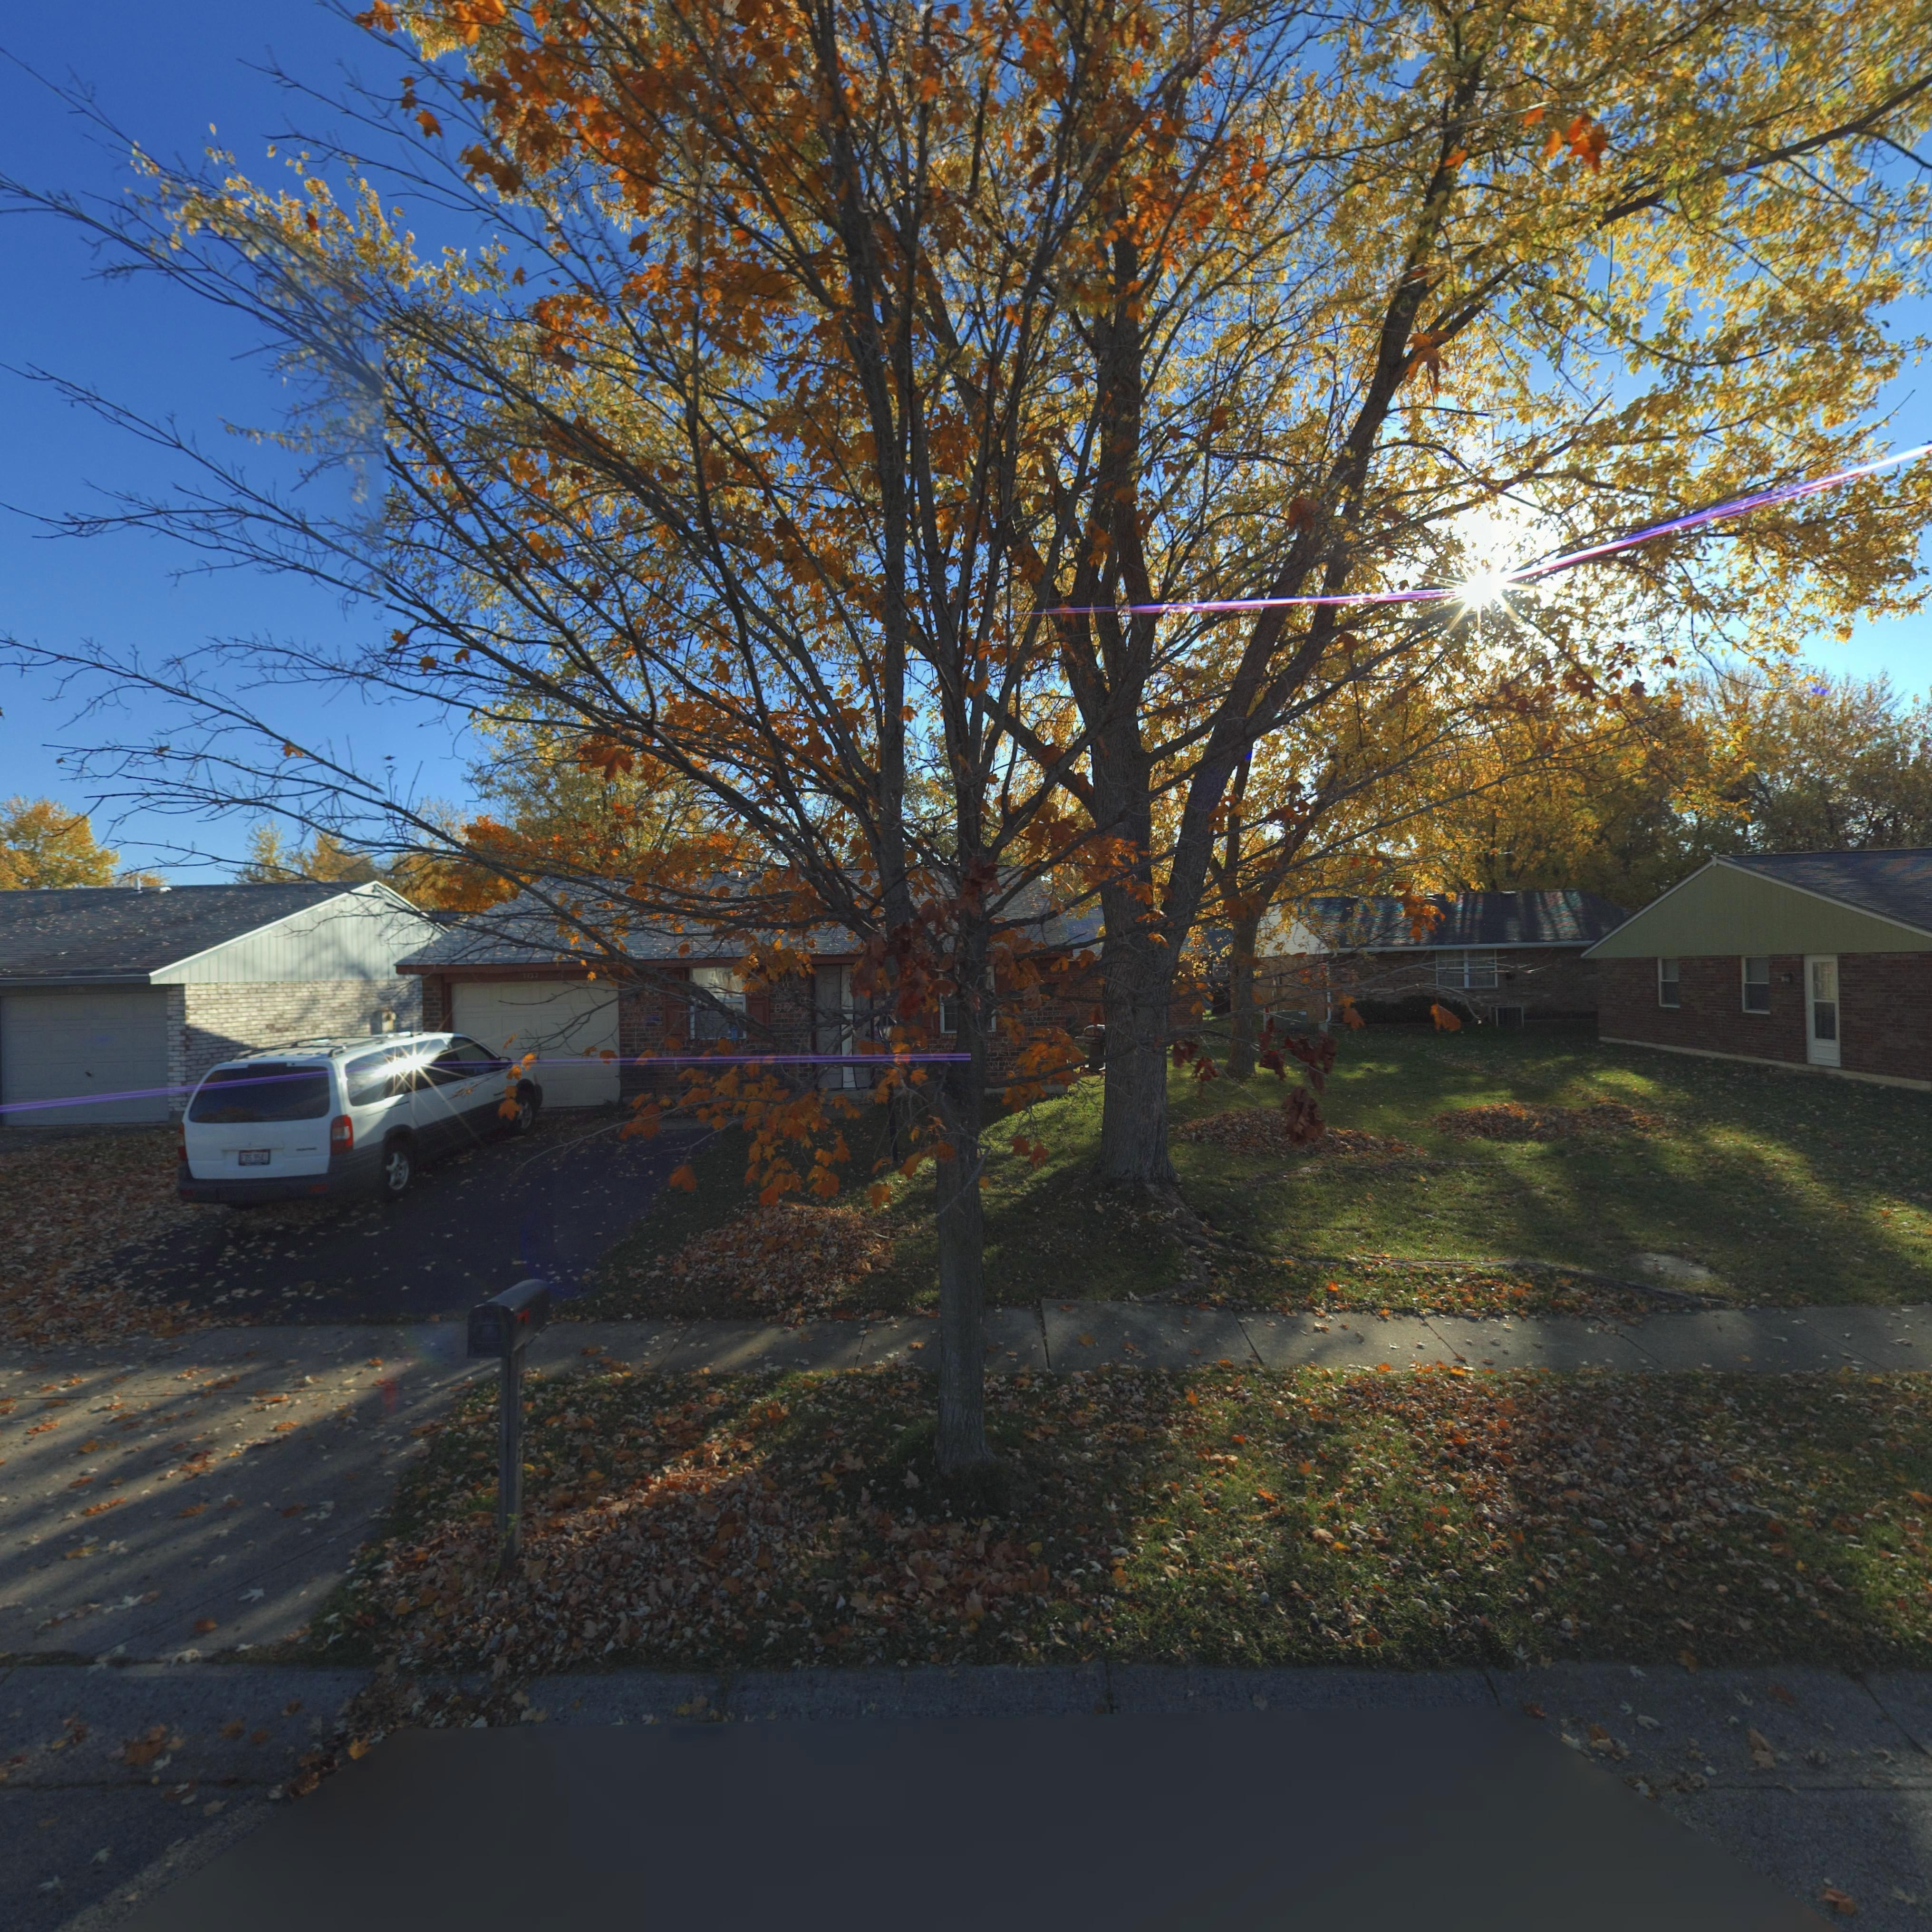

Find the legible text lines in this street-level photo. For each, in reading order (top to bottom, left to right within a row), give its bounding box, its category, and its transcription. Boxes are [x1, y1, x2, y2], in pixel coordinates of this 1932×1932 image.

[522, 971, 540, 980] StreetNumber: 7732
[65, 985, 87, 995] StreetNumber: 7736